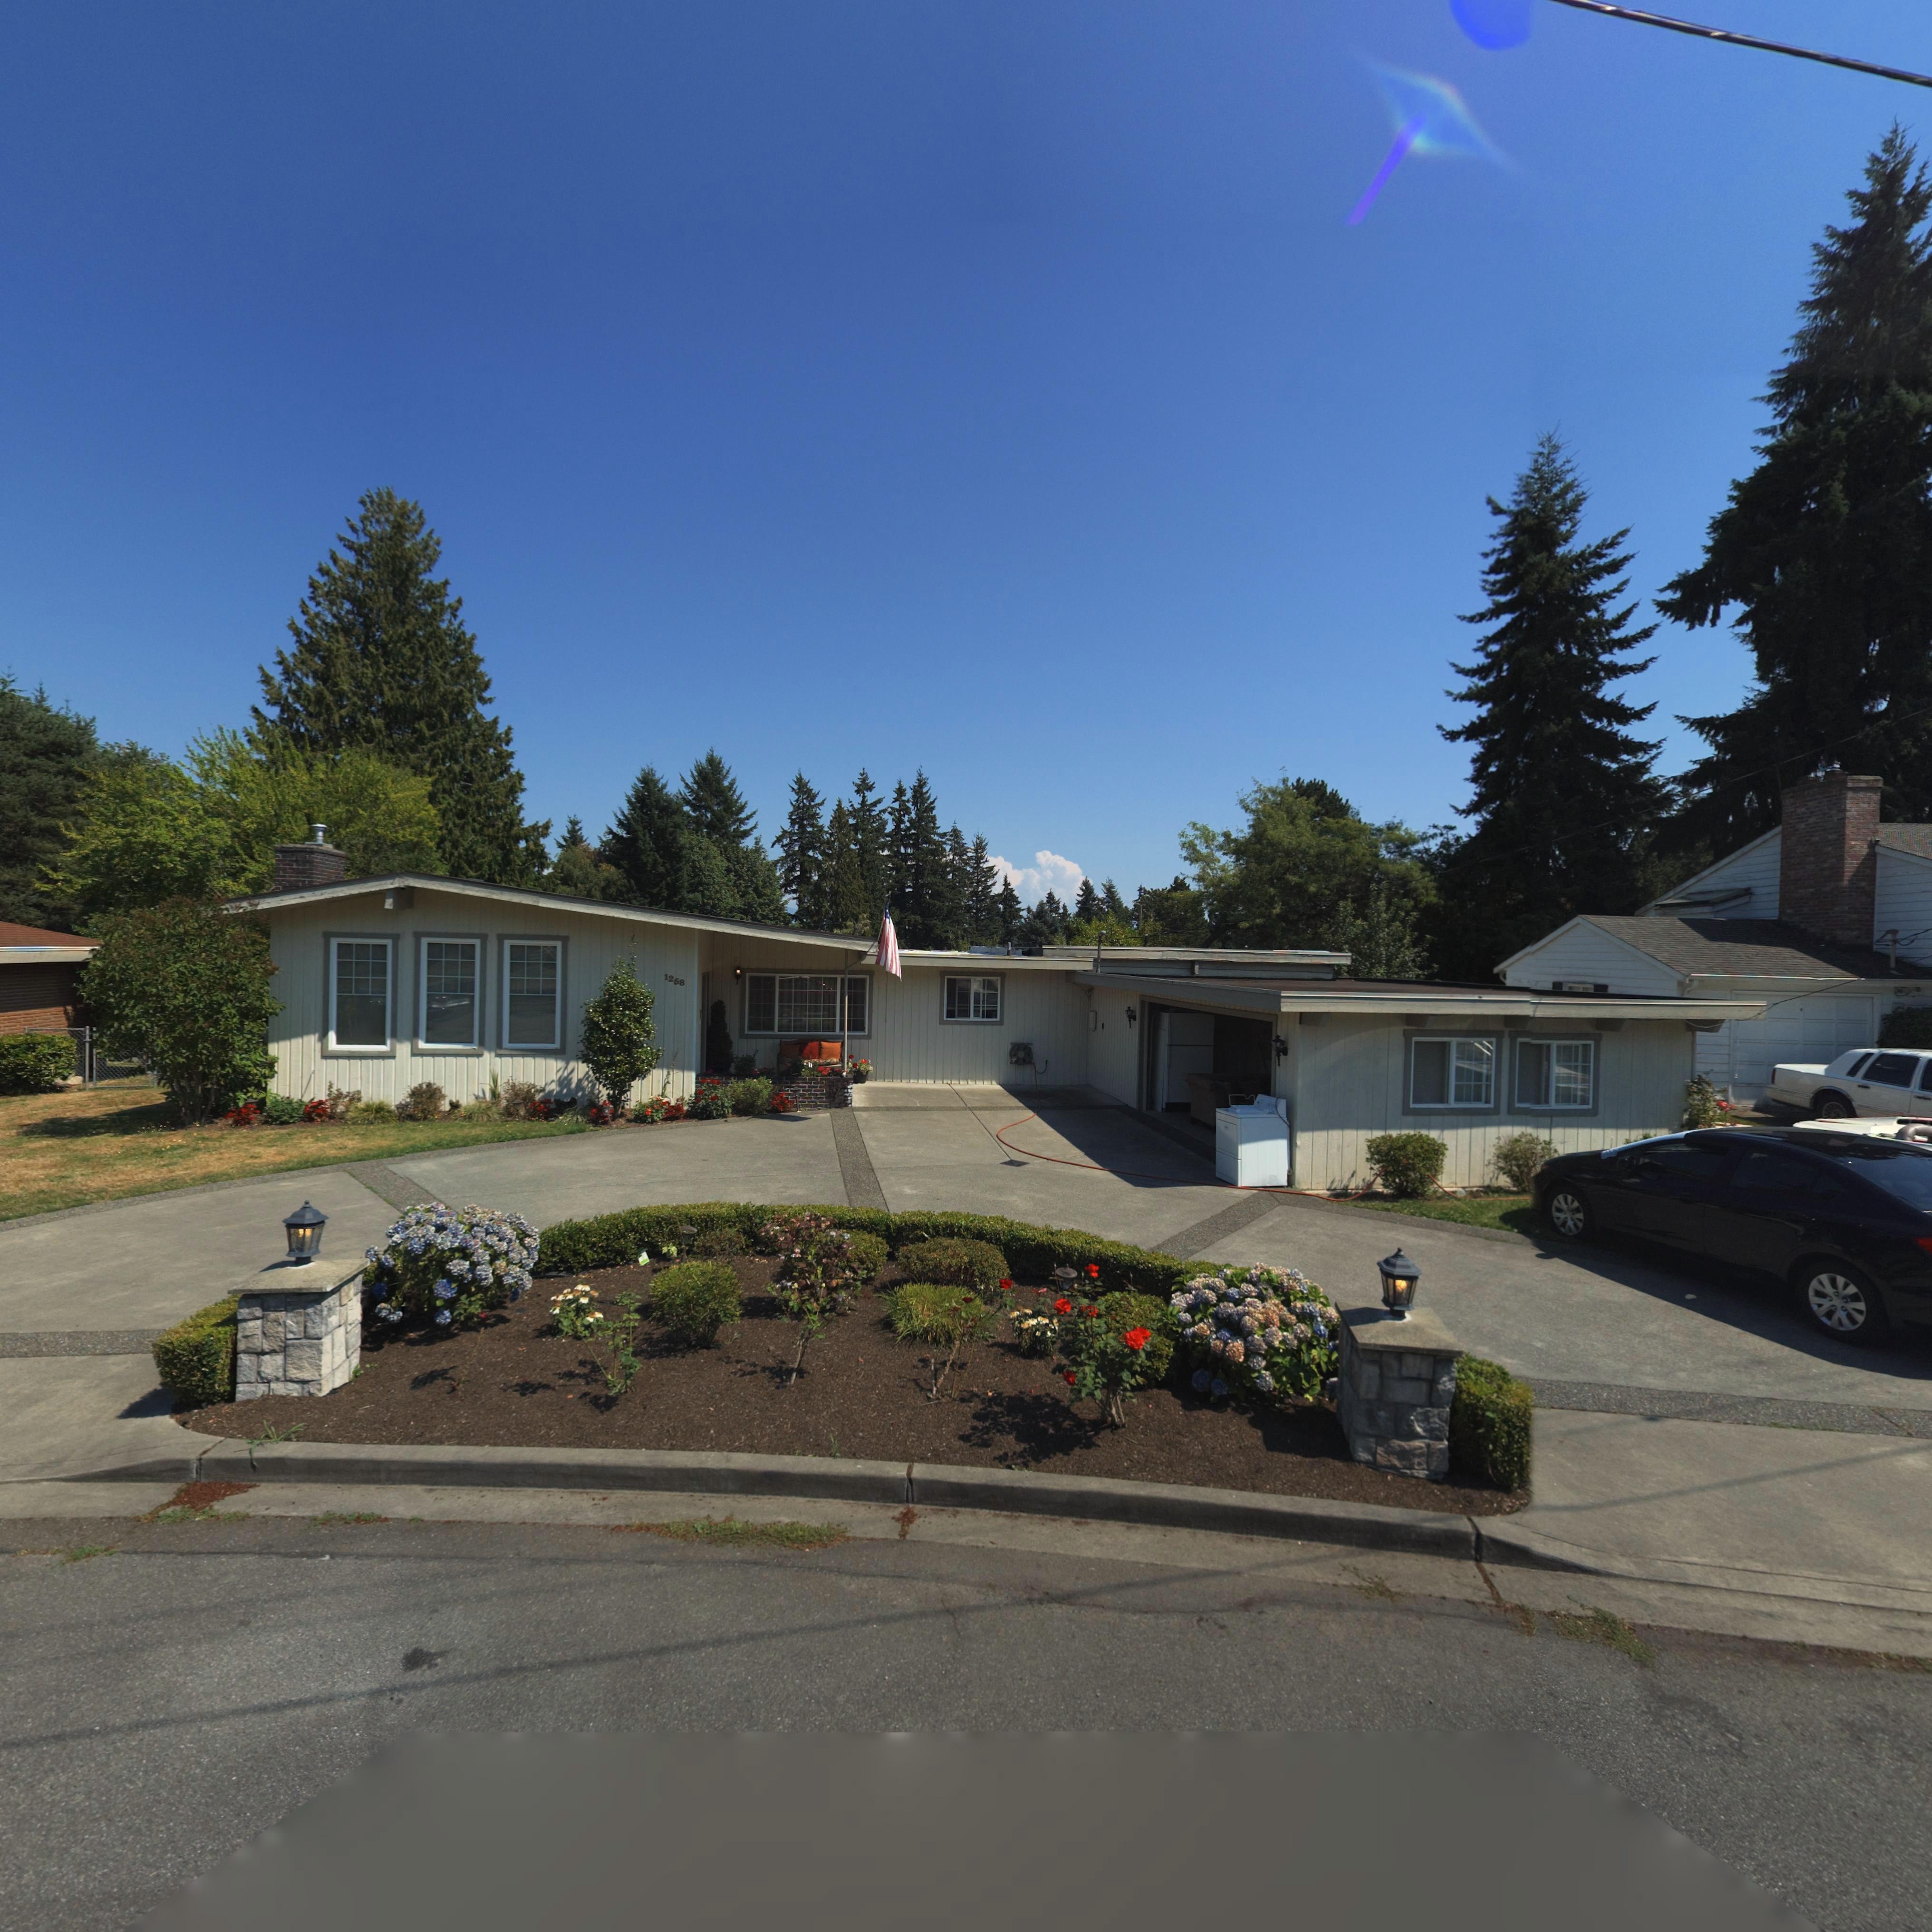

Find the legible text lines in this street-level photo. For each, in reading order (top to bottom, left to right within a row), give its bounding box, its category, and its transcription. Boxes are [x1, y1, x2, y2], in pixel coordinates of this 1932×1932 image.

[663, 972, 686, 988] StreetNumber: 1258